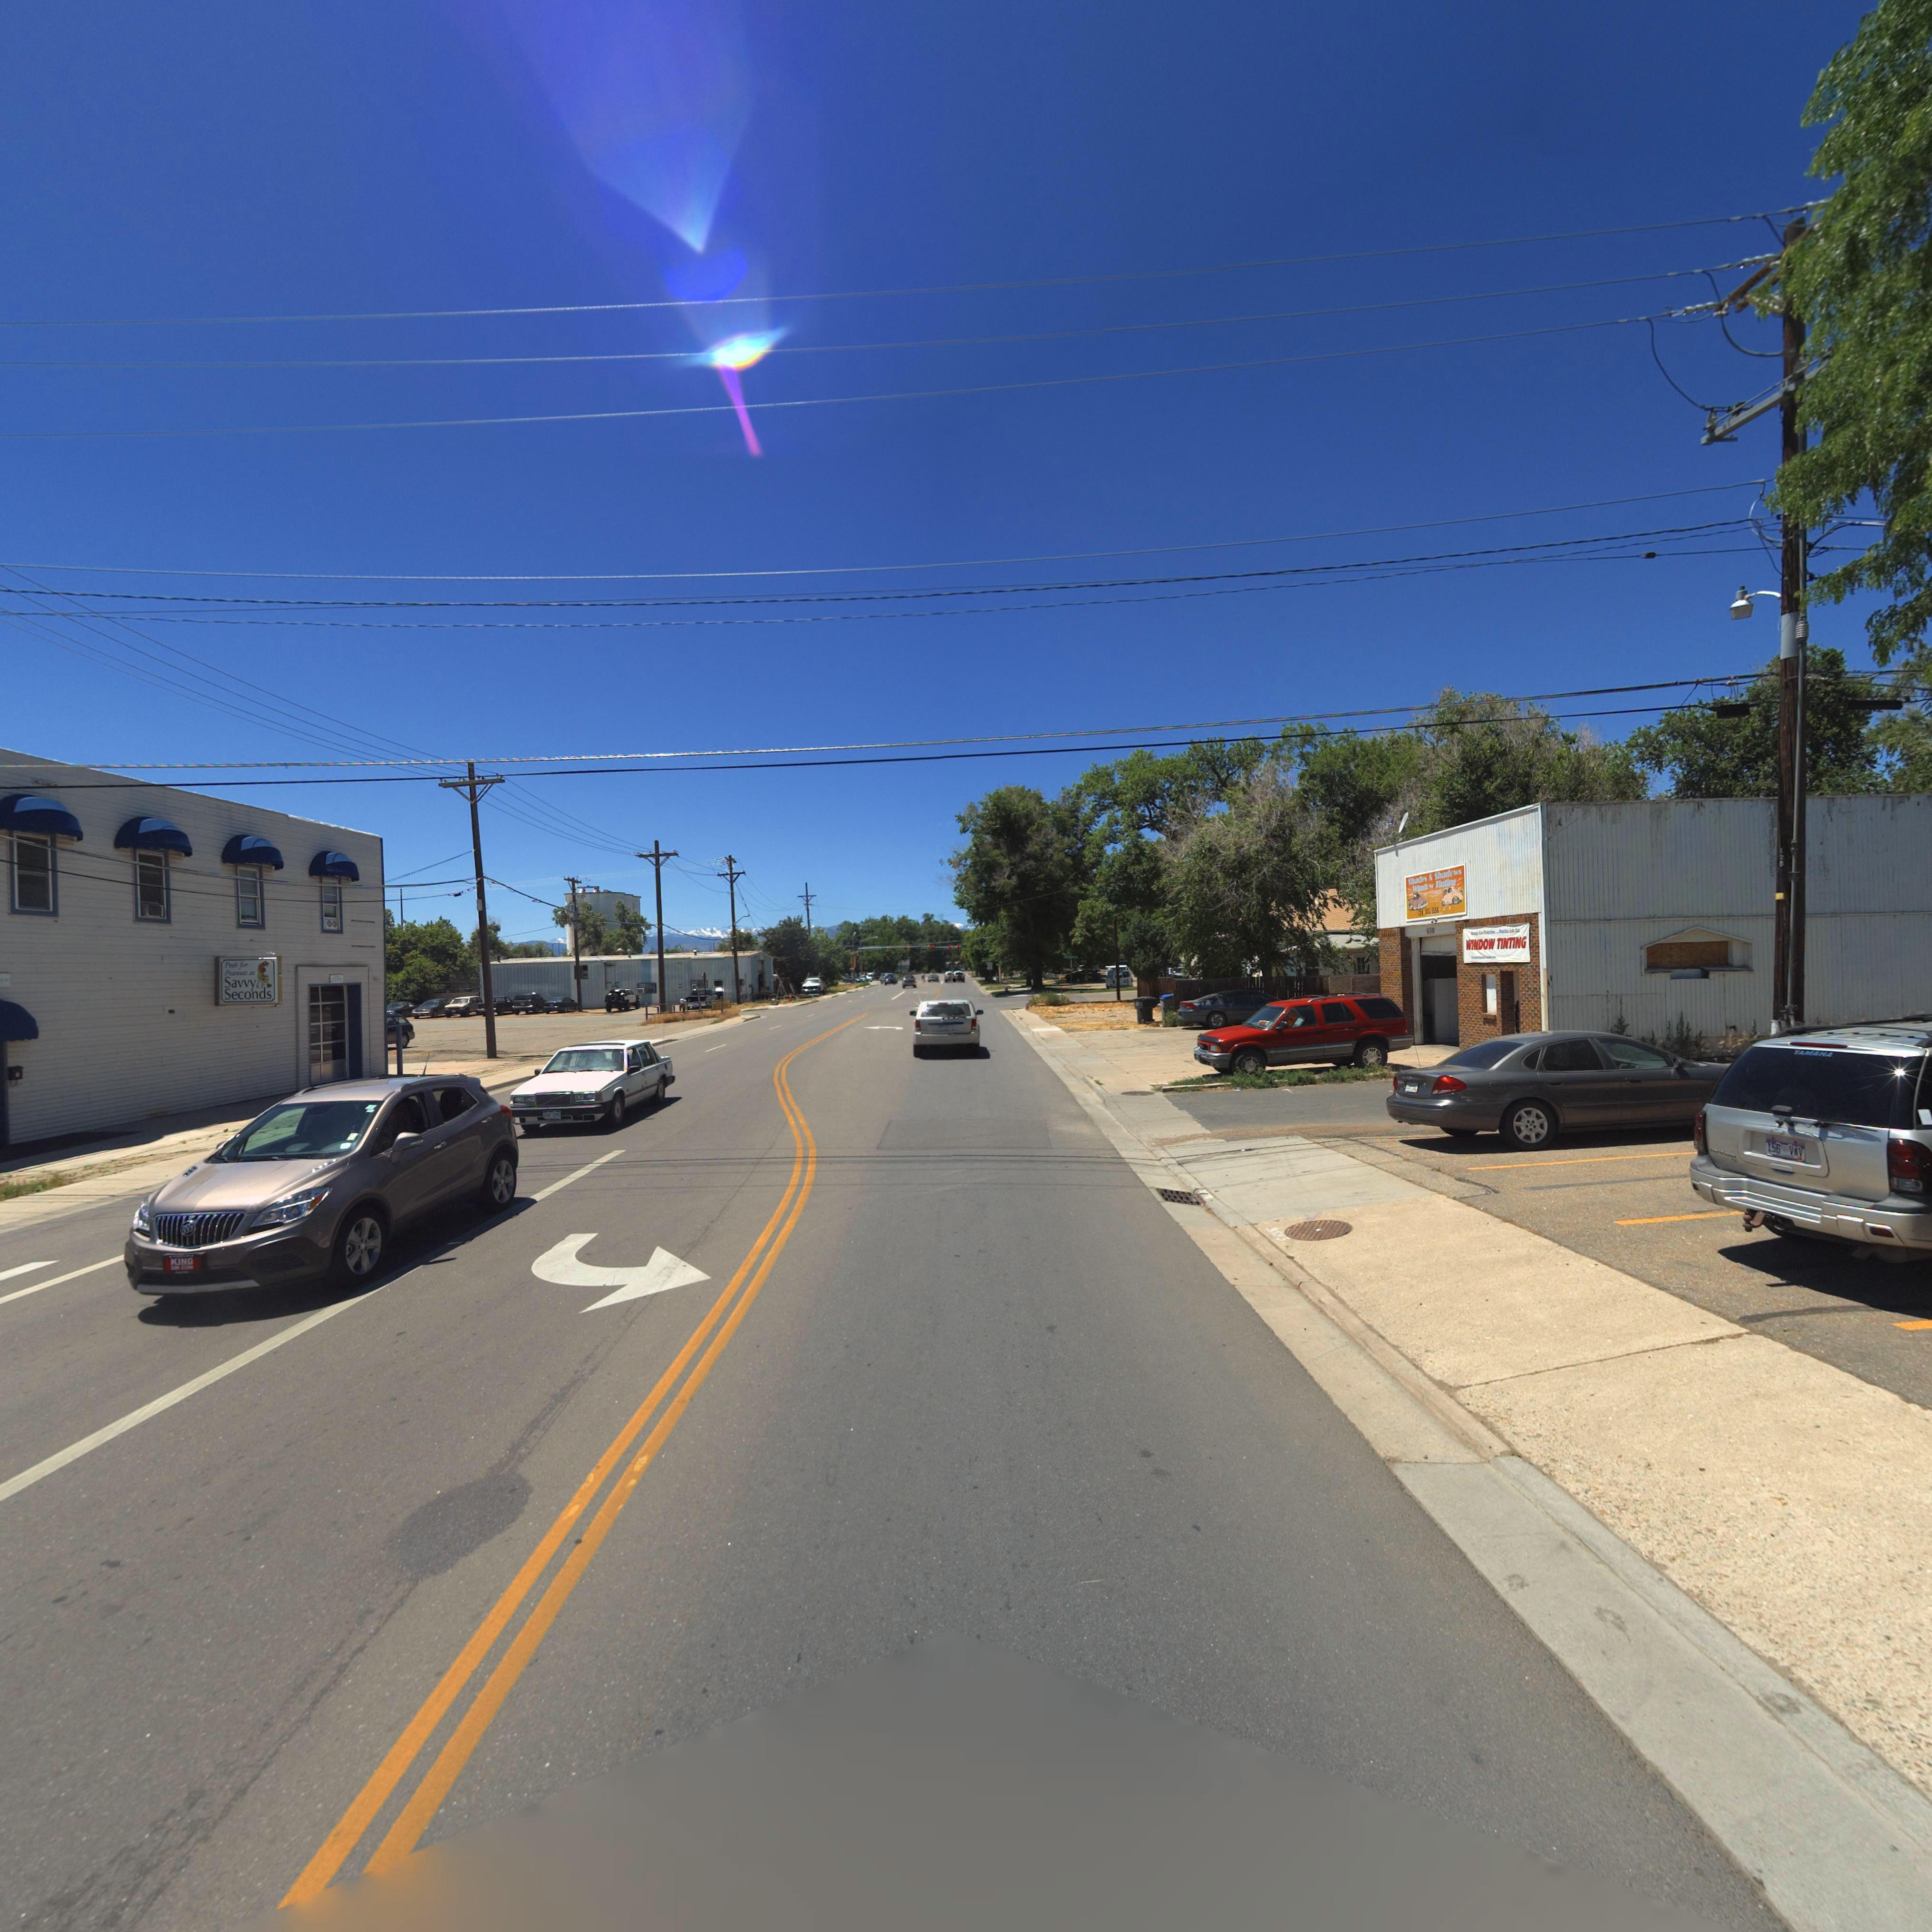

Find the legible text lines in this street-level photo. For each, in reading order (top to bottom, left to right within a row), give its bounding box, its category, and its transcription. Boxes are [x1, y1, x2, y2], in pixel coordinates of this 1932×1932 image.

[1408, 869, 1462, 885] BusinessName: S*ades & Shadows
[1426, 927, 1435, 934] StreetNumber: 650
[224, 976, 257, 992] BusinessName: Savvy
[224, 986, 271, 1000] BusinessName: Seconds